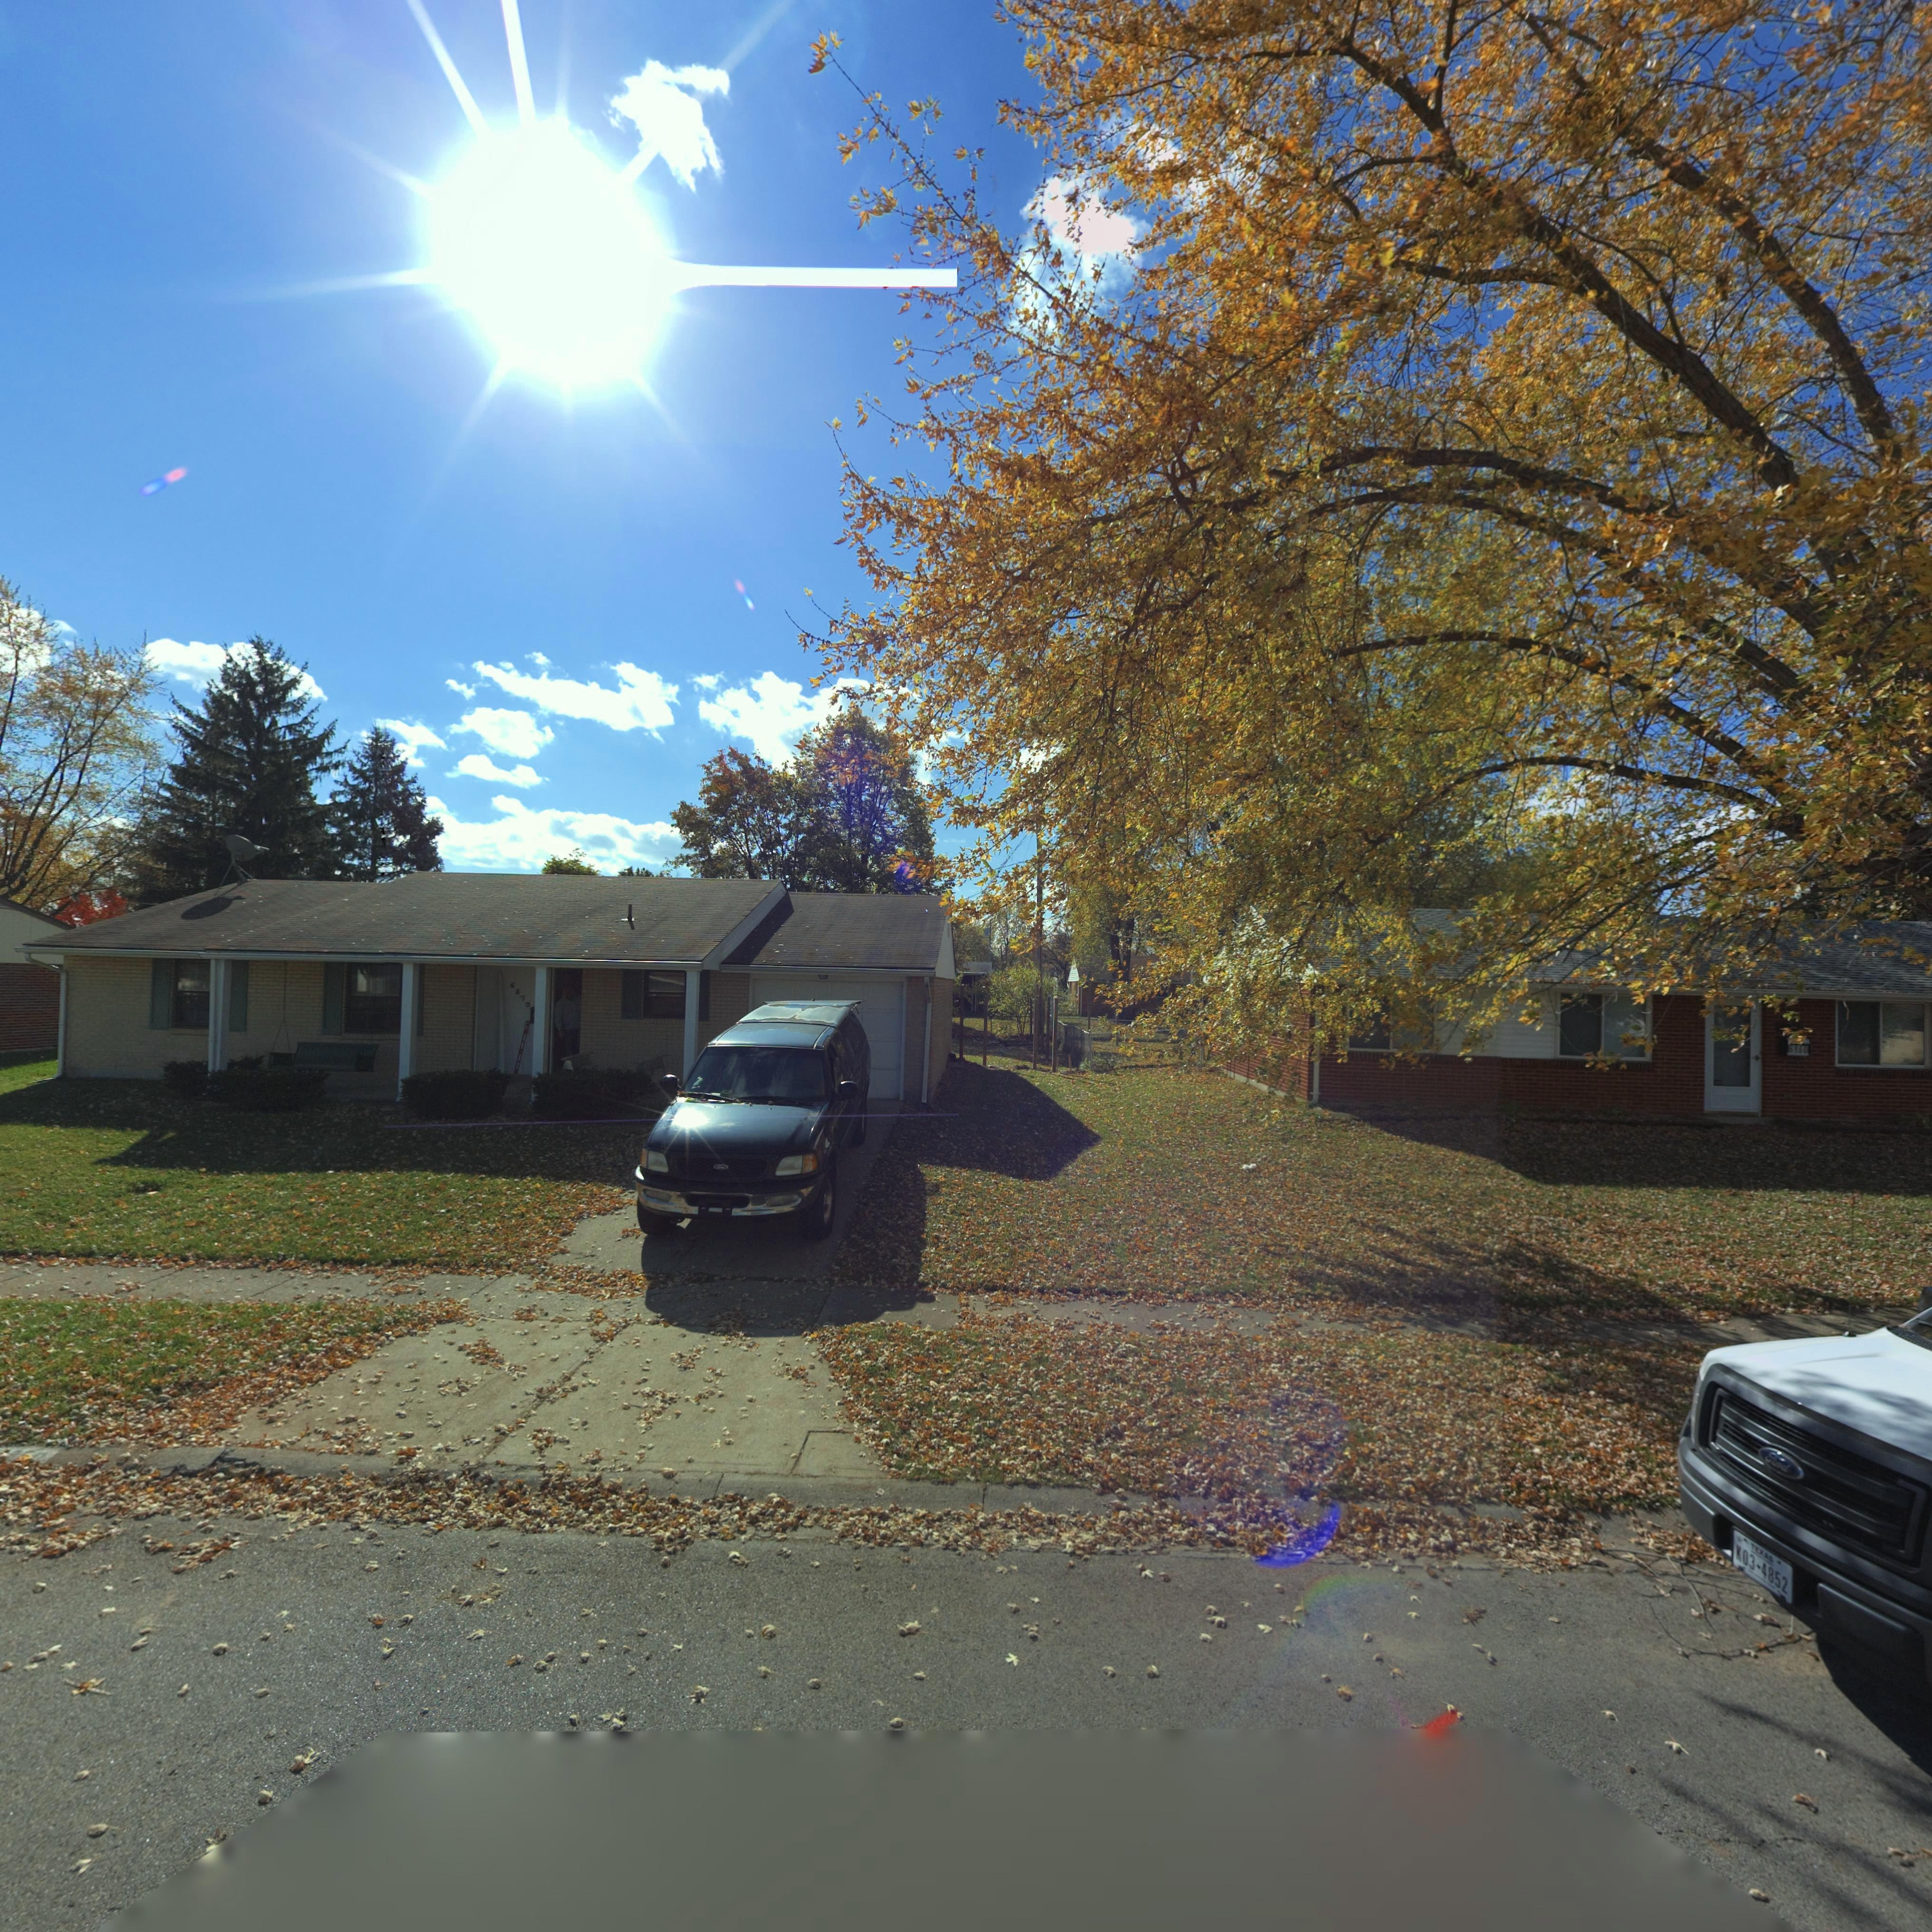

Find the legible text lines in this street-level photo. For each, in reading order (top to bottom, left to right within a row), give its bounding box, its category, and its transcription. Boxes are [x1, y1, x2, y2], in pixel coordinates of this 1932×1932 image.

[508, 980, 532, 1009] StreetNumber: 6**0
[1788, 1044, 1809, 1055] StreetNumber: 6*60